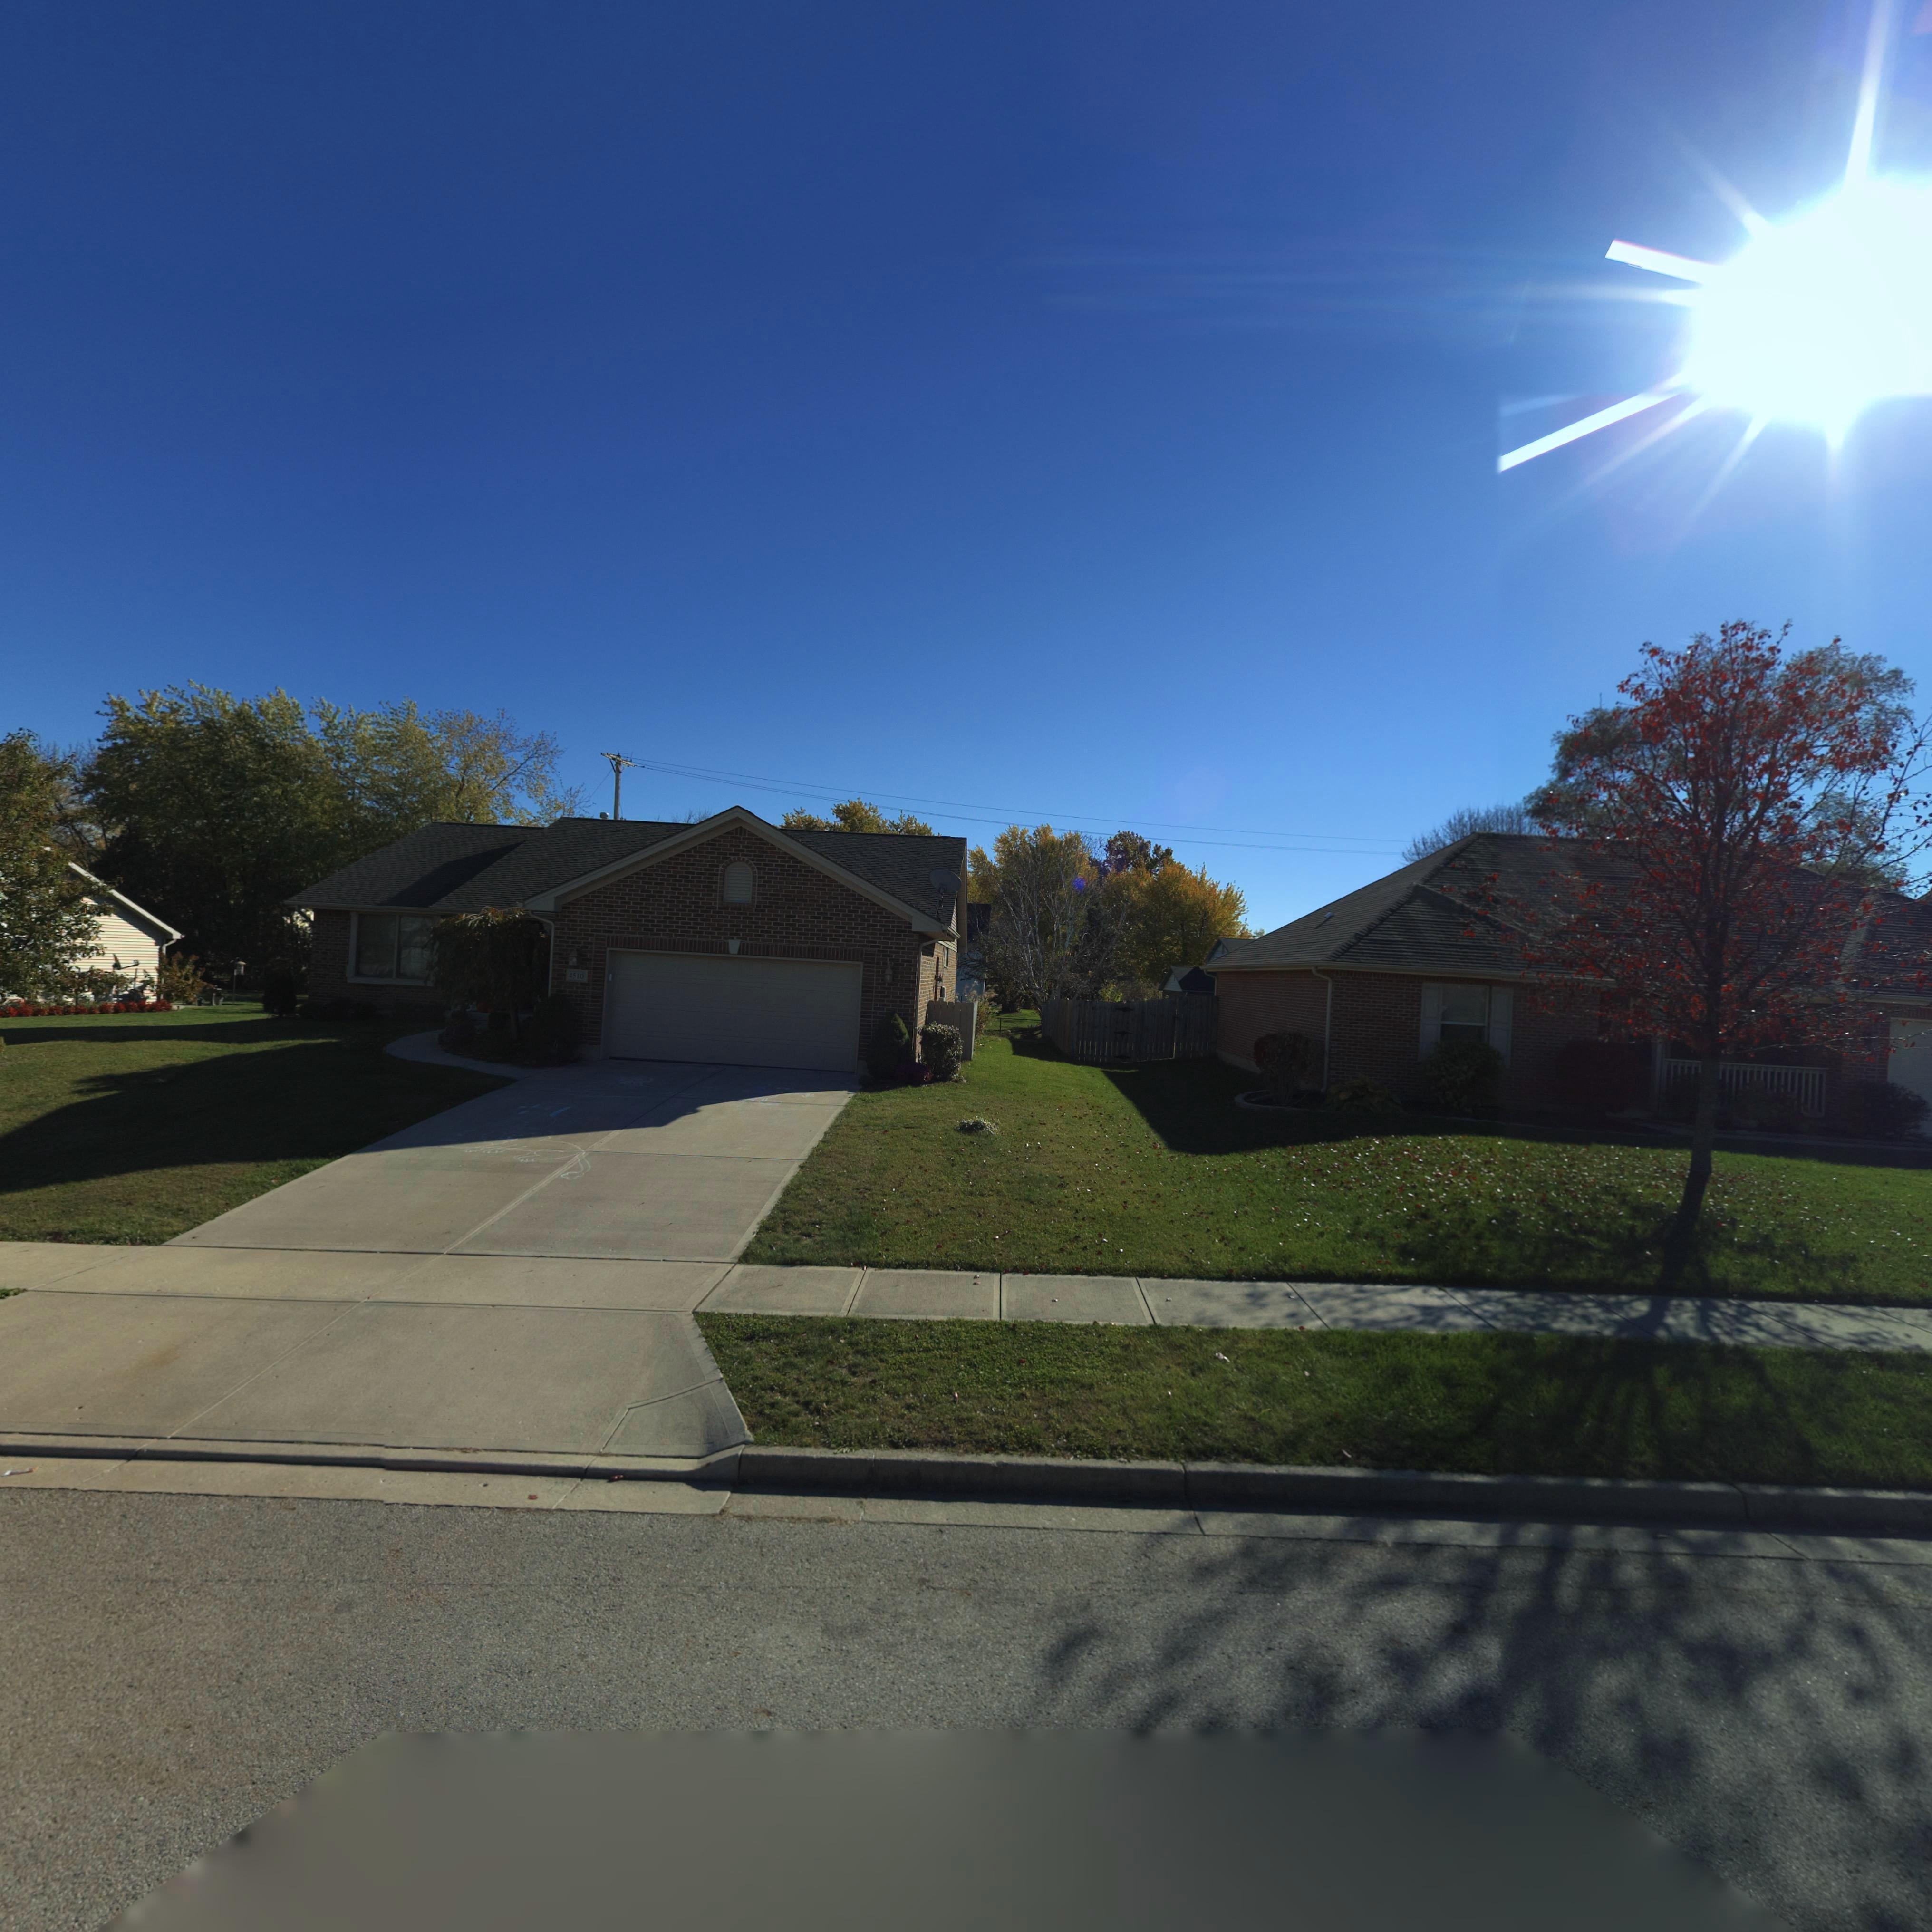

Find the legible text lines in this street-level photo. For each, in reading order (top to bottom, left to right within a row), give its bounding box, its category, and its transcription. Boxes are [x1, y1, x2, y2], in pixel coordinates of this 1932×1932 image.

[567, 972, 585, 980] StreetNumber: 4510